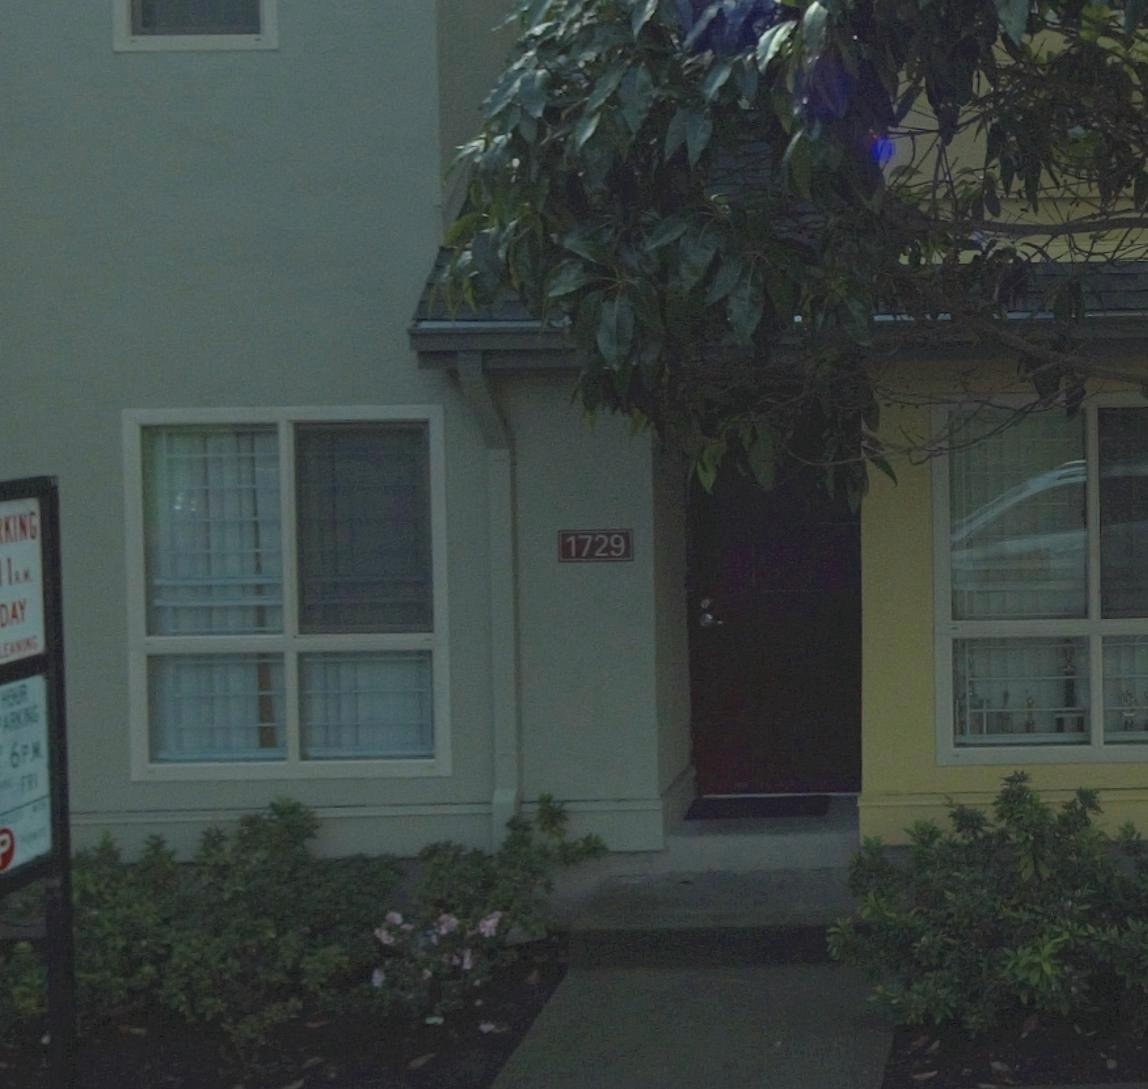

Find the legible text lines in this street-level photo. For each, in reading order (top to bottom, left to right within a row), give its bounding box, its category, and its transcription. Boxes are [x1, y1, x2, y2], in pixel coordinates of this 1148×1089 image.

[0, 506, 42, 547] None: KING
[563, 532, 628, 560] StreetNumber: 1729
[4, 552, 17, 590] None: 1
[7, 593, 29, 630] None: AY
[6, 735, 48, 774] None: 6 PM